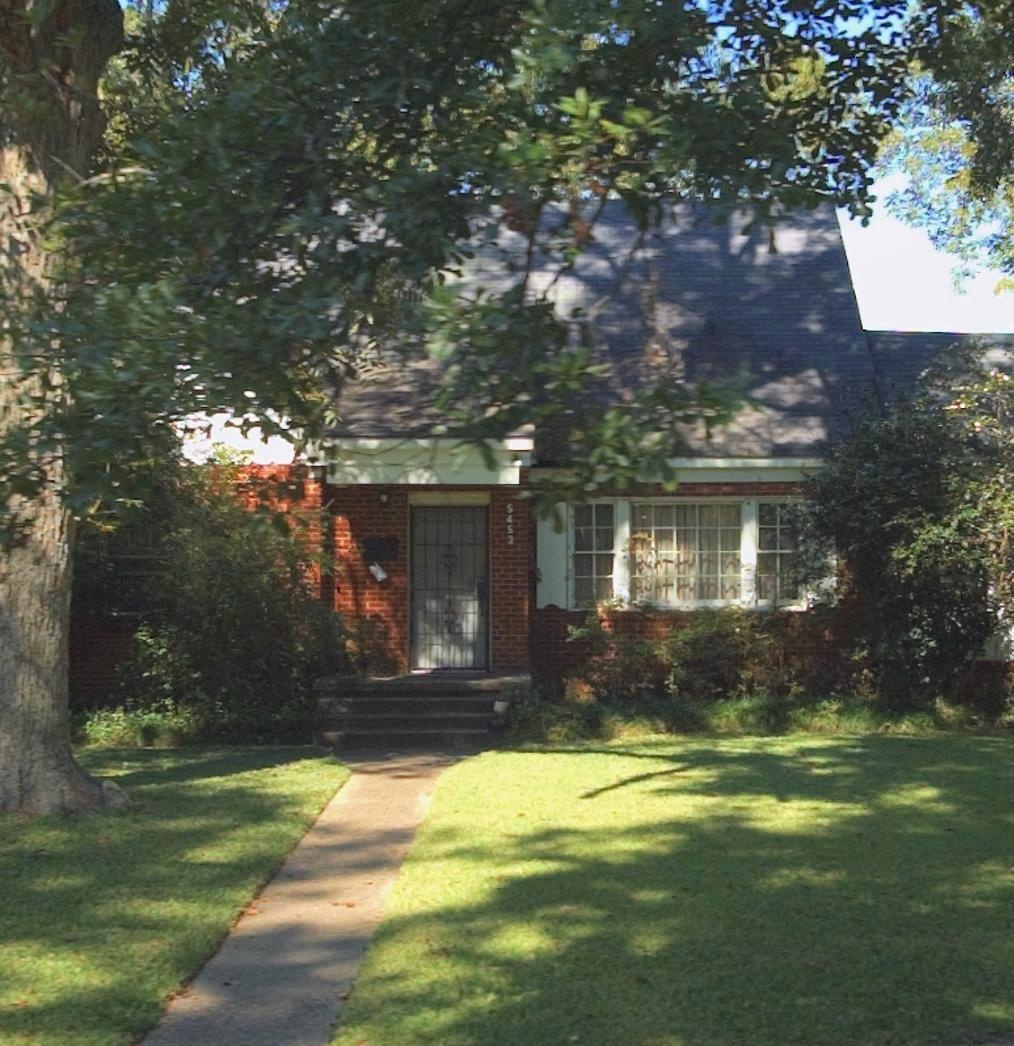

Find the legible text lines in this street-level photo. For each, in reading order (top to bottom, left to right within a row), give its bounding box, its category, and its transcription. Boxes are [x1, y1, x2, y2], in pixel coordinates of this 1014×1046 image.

[505, 501, 514, 546] StreetNumber: 5453